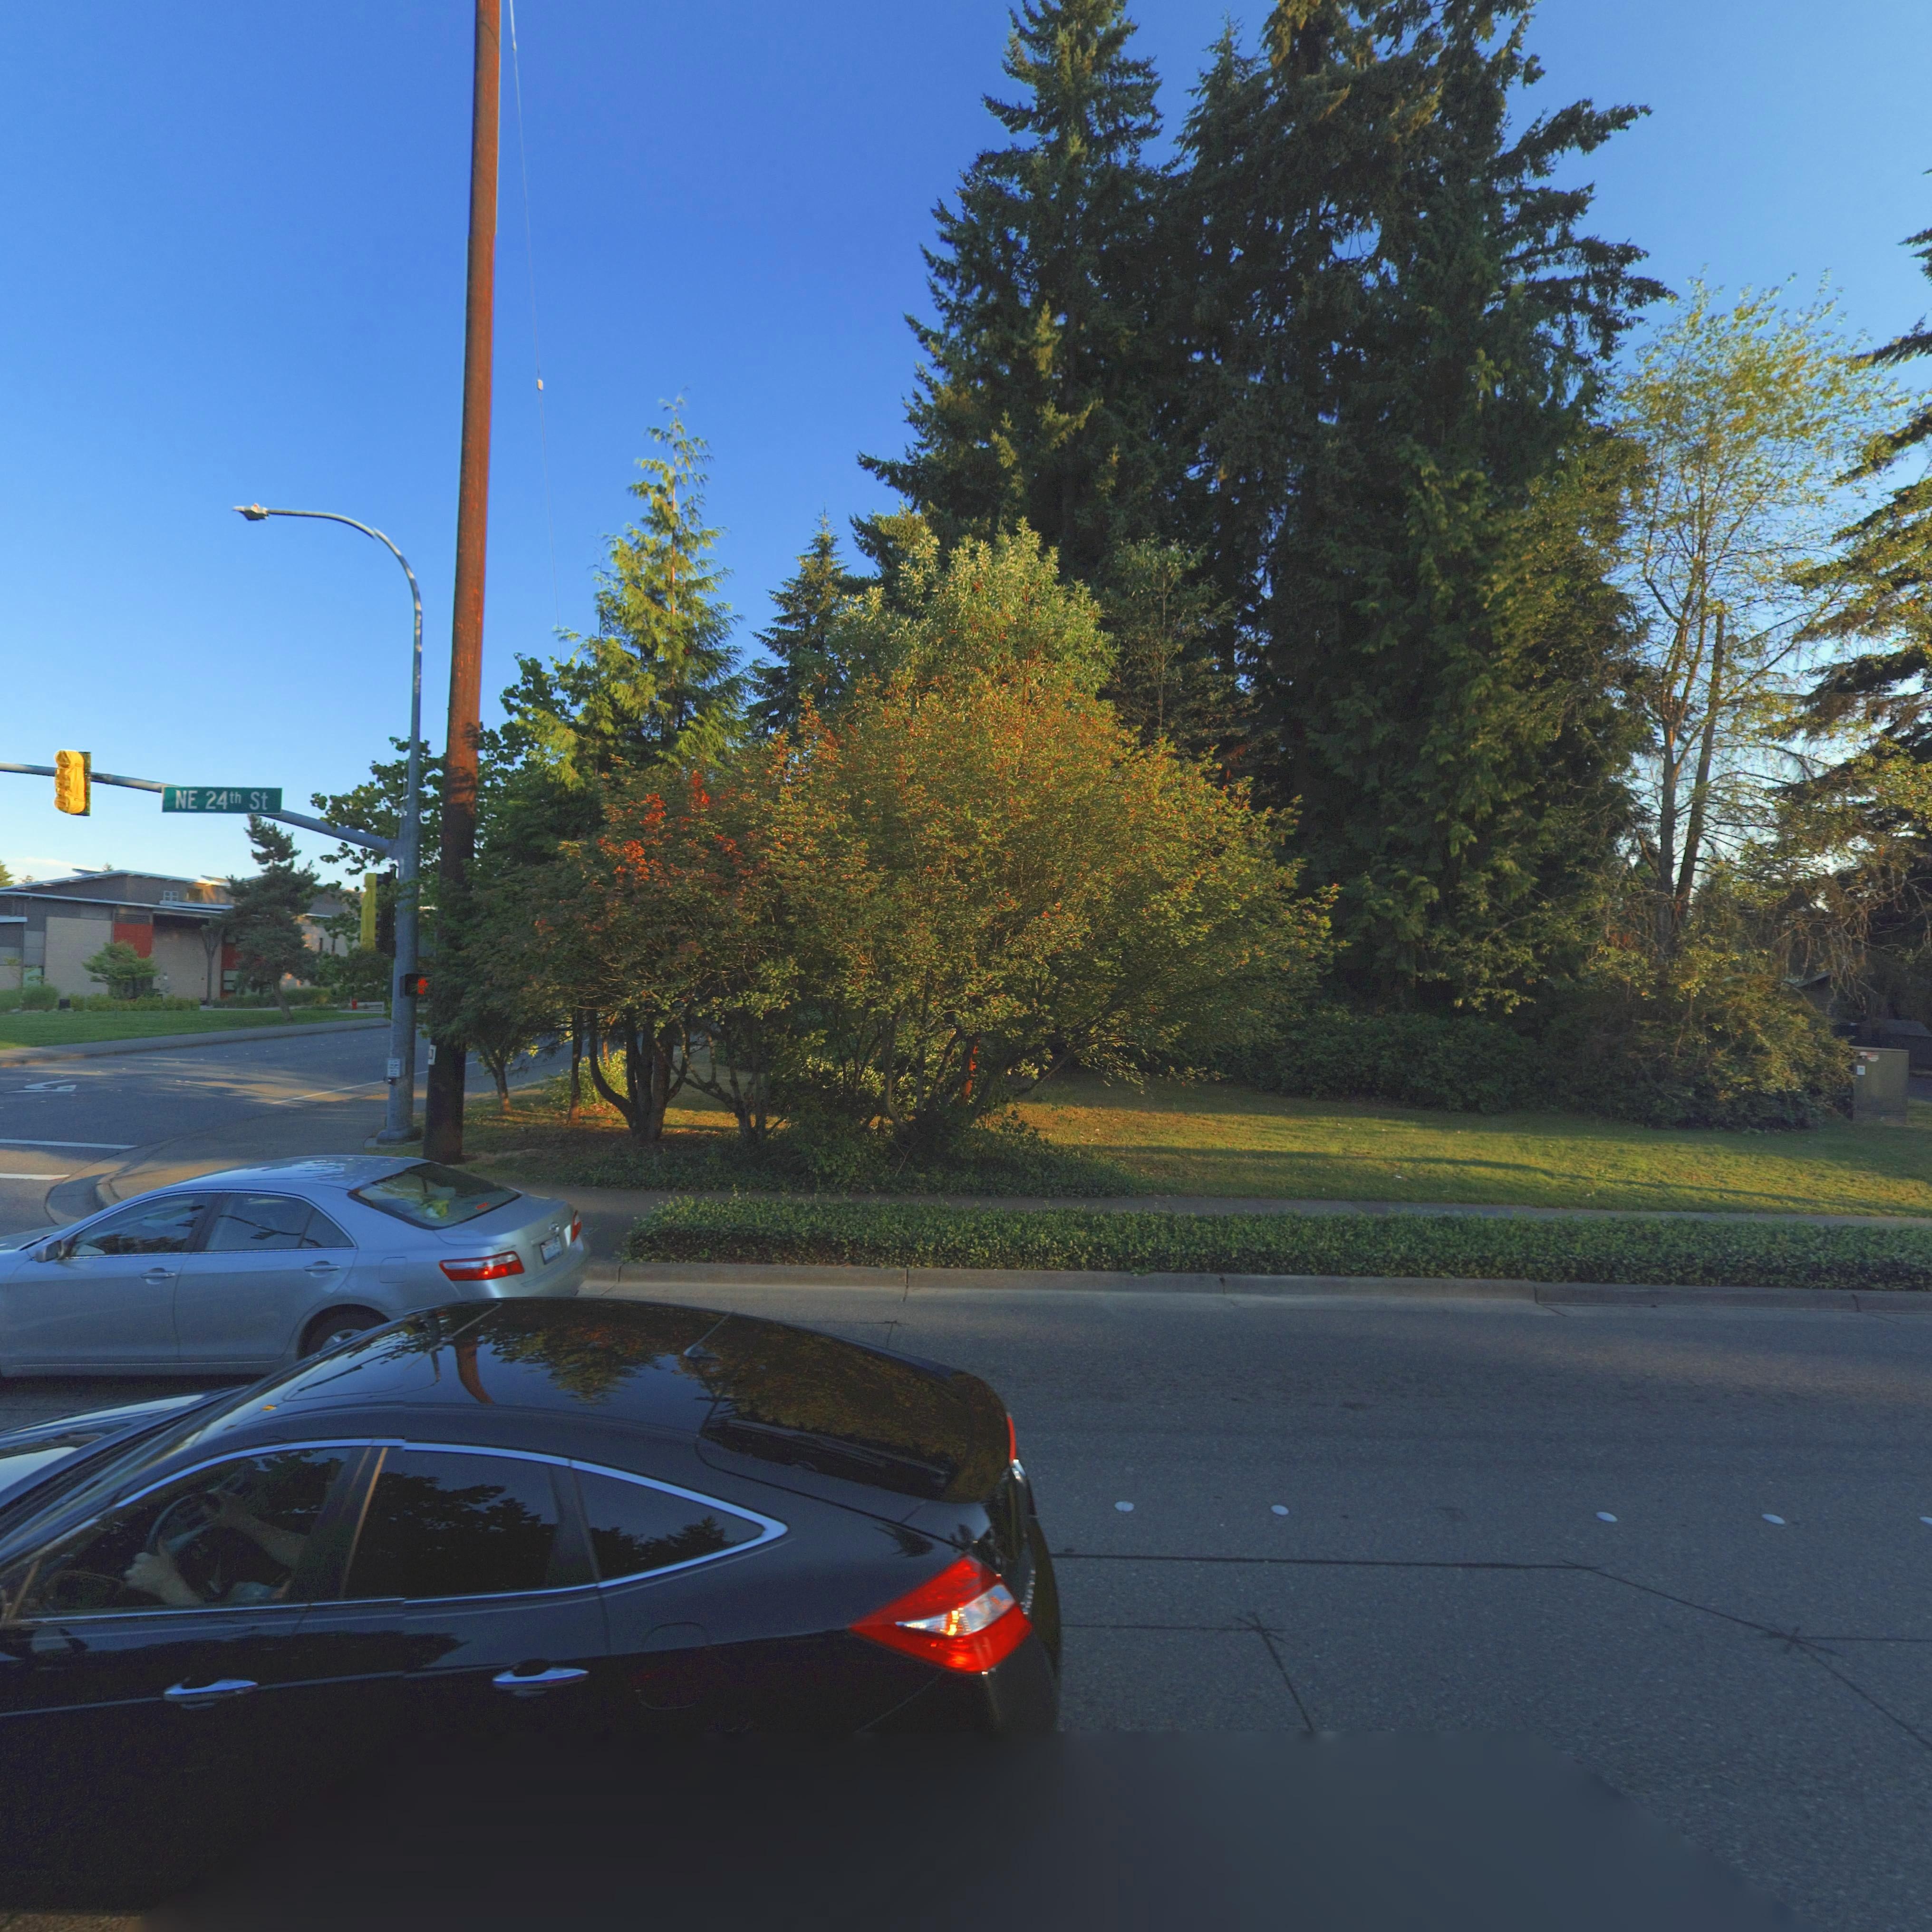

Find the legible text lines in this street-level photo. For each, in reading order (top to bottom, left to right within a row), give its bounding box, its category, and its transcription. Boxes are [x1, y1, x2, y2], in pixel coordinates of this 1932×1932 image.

[175, 789, 268, 811] StreetName: NE 24th St